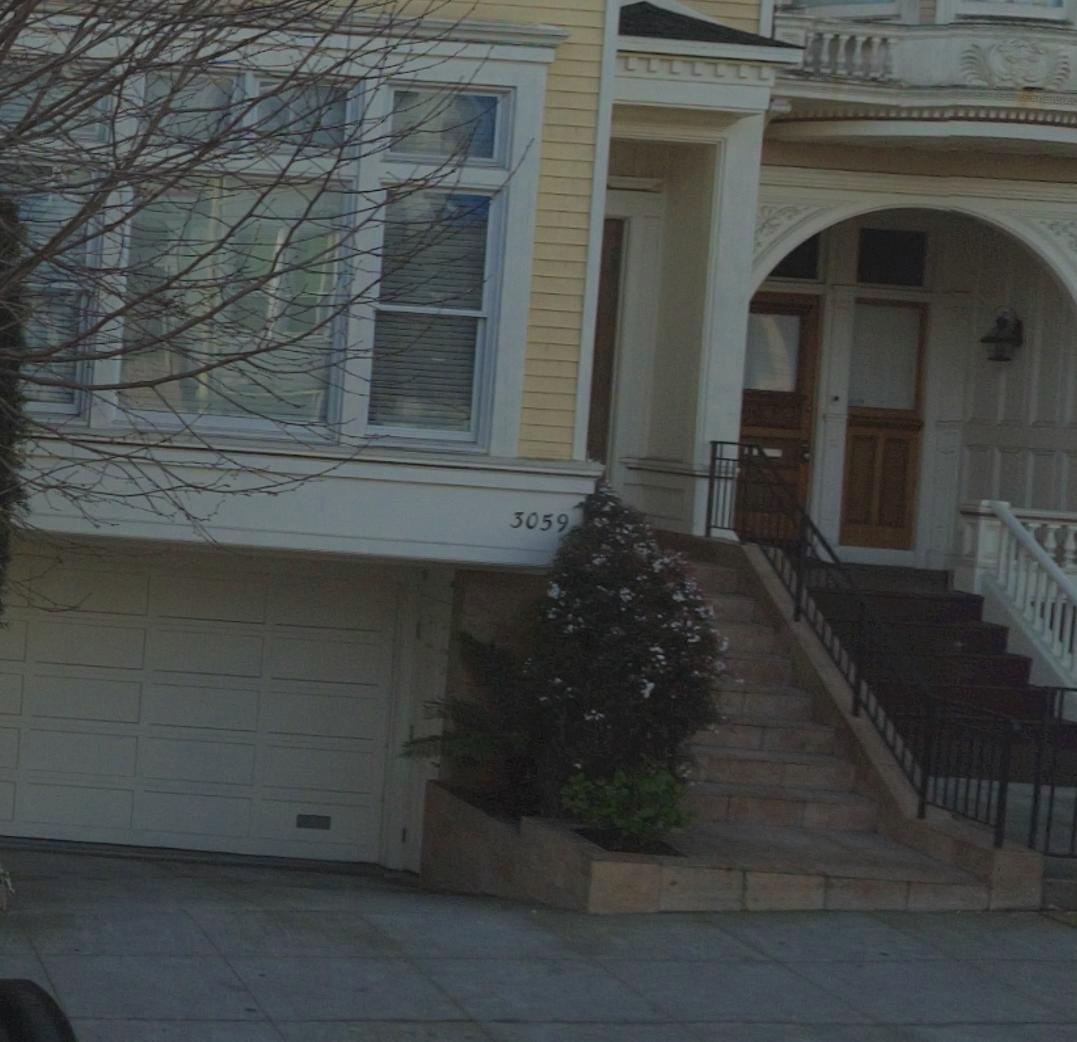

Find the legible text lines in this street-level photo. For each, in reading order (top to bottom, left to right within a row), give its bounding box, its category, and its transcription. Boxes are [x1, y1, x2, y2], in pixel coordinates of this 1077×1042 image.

[504, 508, 574, 536] StreetNumber: 3059